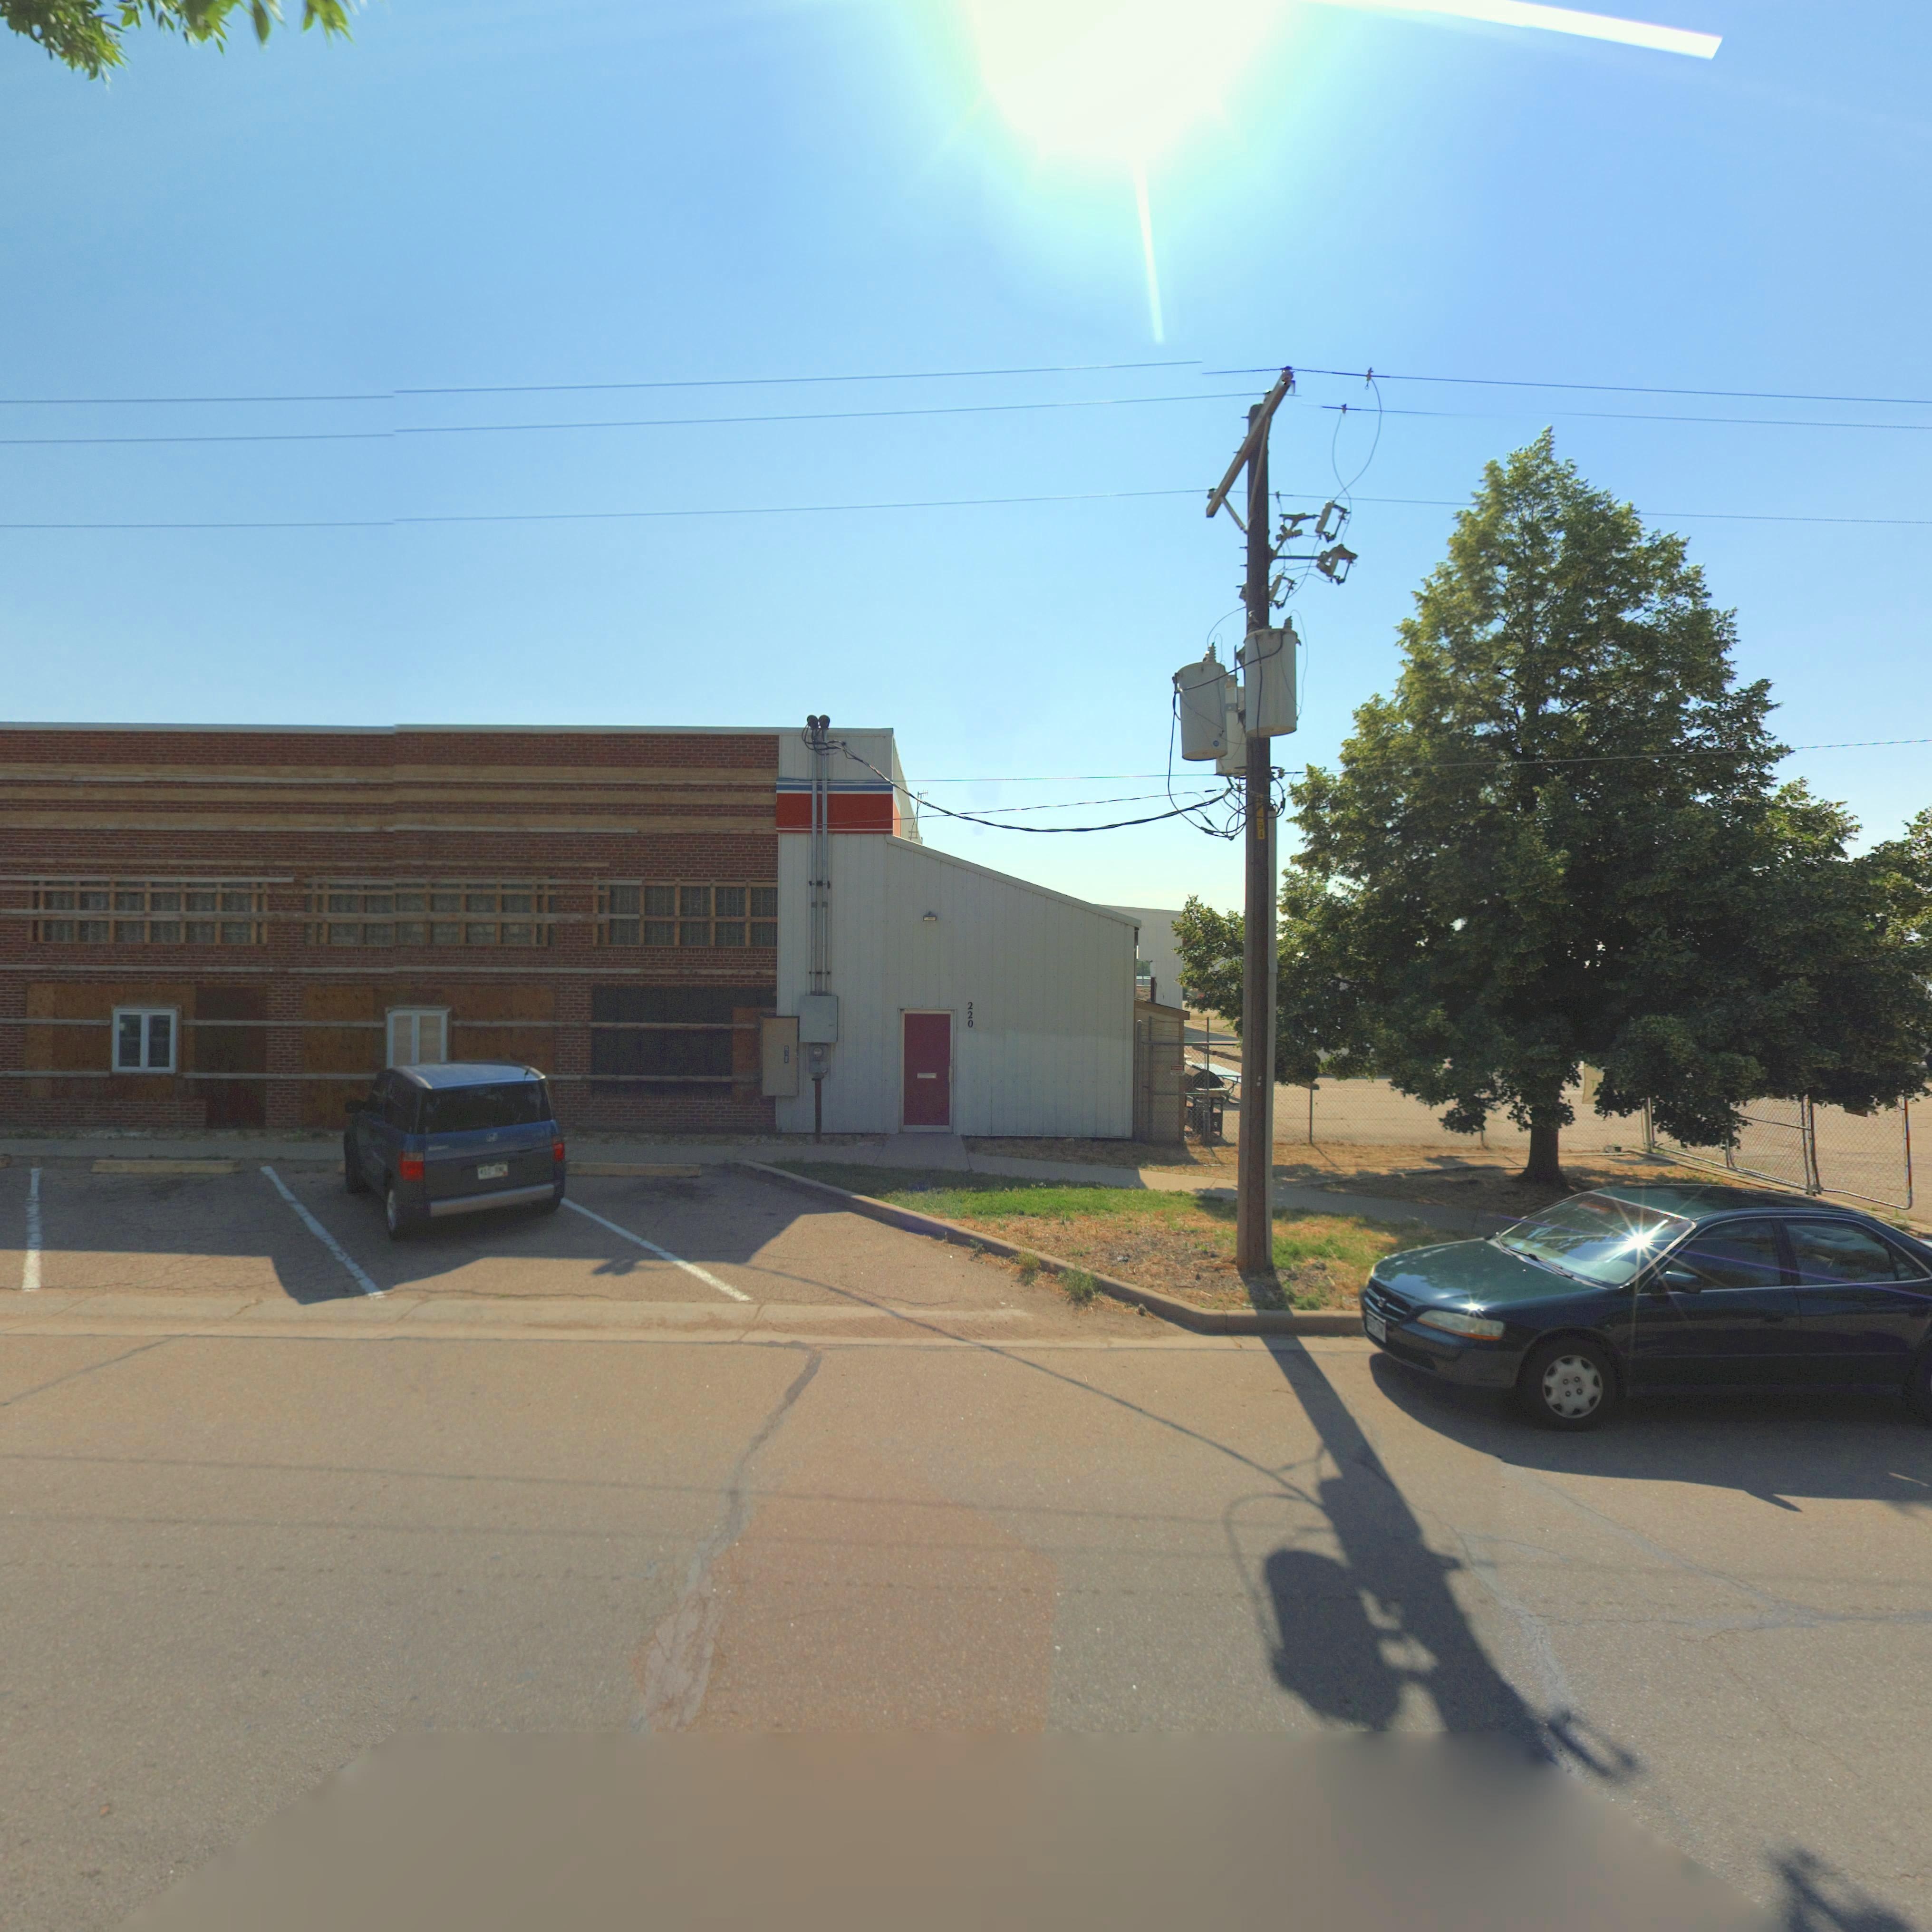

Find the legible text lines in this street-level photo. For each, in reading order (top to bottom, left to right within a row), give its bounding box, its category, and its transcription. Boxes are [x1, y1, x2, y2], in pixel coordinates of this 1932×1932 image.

[966, 1001, 974, 1028] StreetNumber: 220